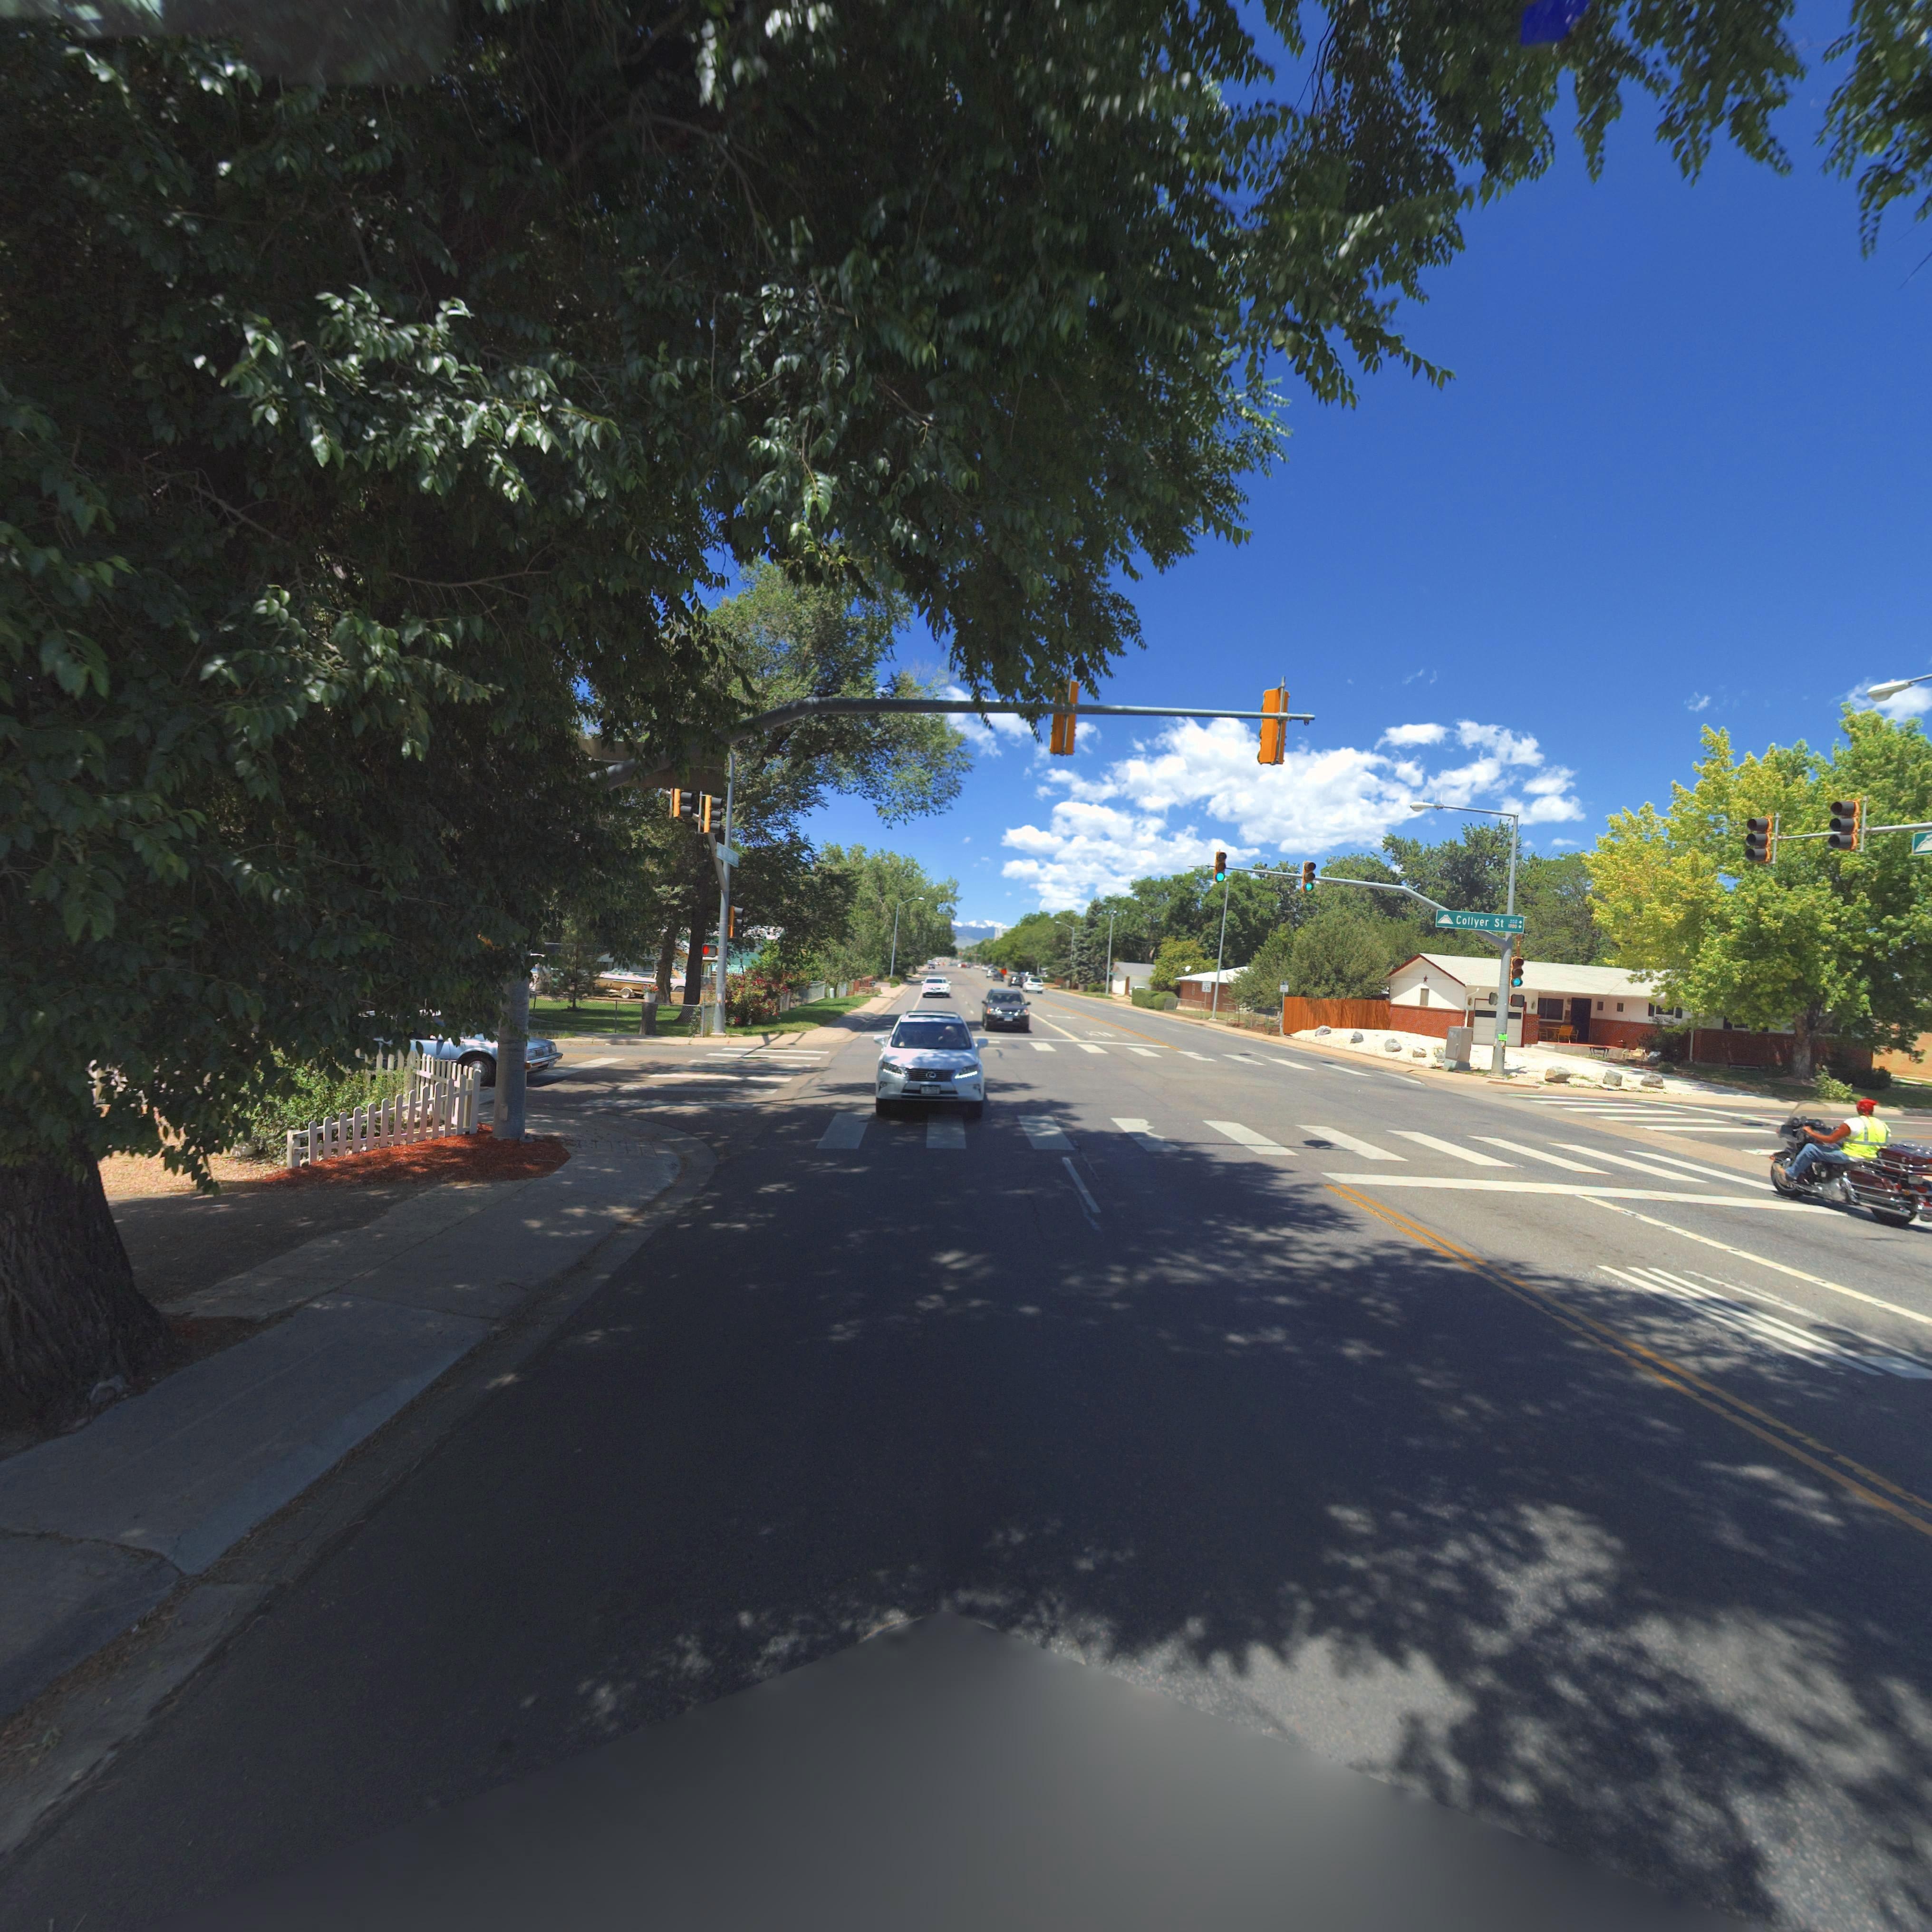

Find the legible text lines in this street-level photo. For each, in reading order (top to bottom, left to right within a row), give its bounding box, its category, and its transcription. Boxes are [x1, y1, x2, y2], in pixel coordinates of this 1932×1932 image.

[1456, 914, 1505, 928] StreetName: Collyer St
[1507, 923, 1522, 928] StreetNumberRange: 1*00->